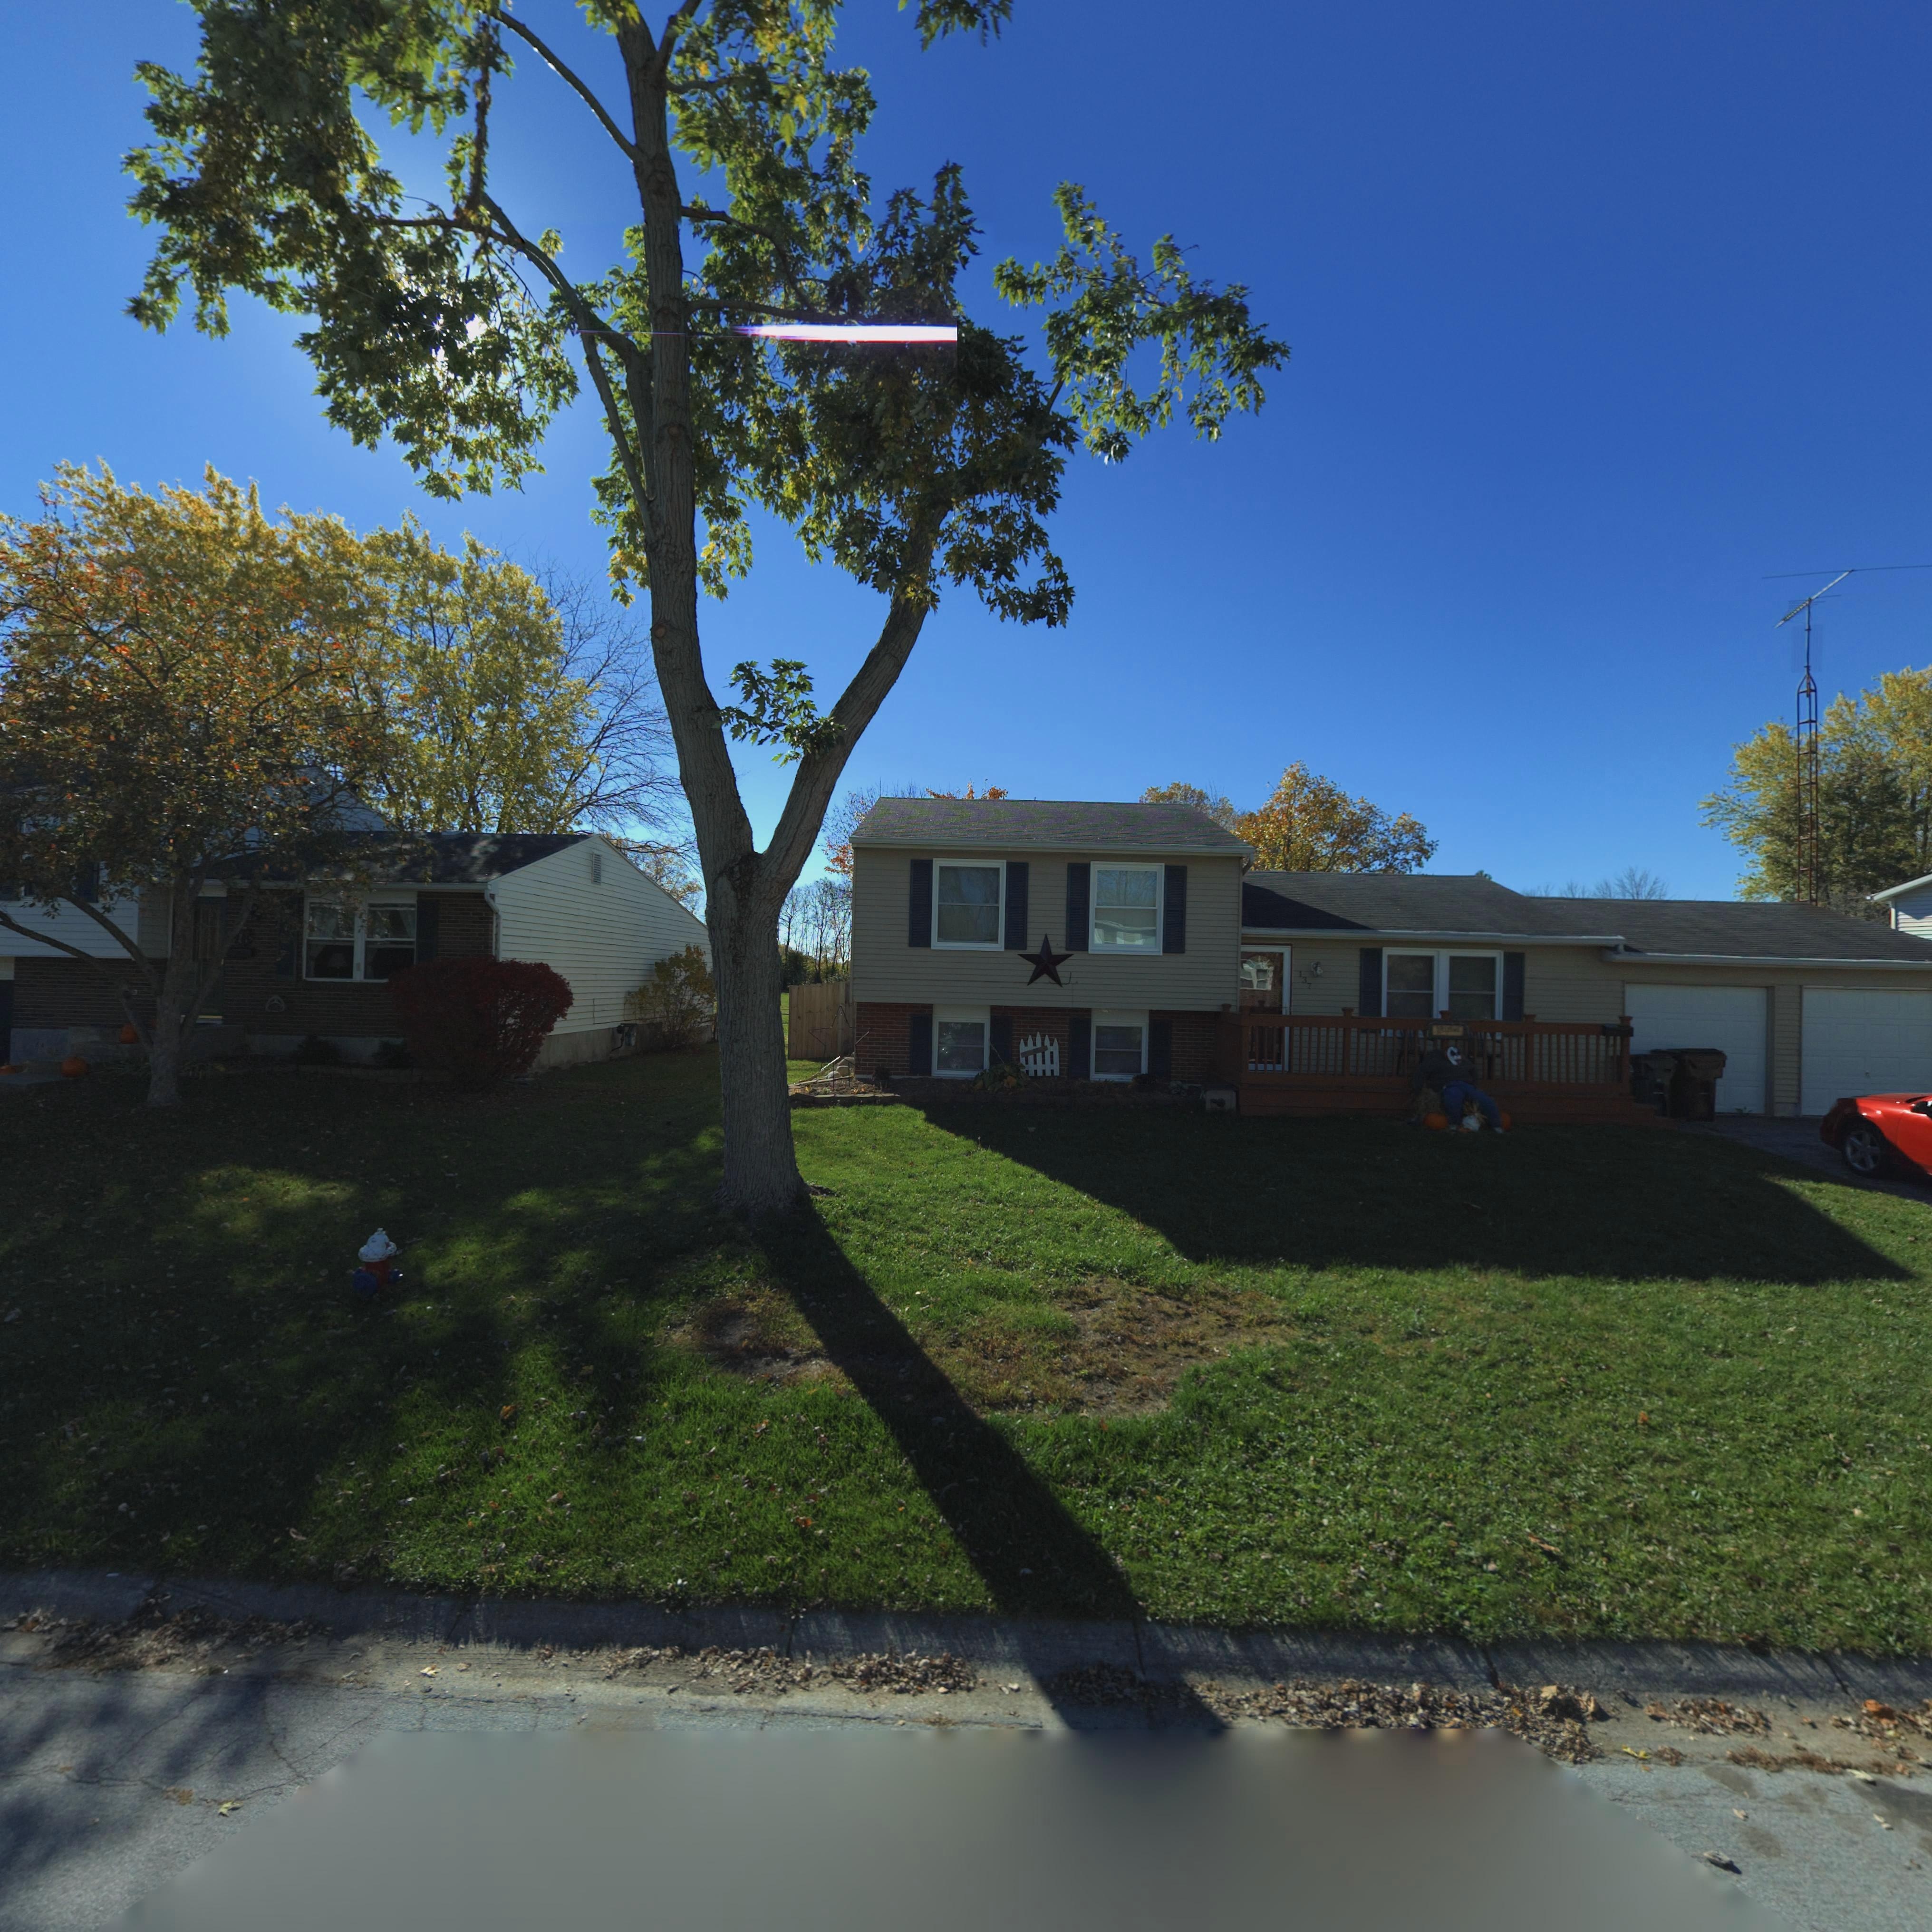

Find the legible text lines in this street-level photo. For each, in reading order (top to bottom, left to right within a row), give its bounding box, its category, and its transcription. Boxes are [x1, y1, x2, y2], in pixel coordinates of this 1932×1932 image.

[1298, 969, 1313, 990] StreetNumber: 137